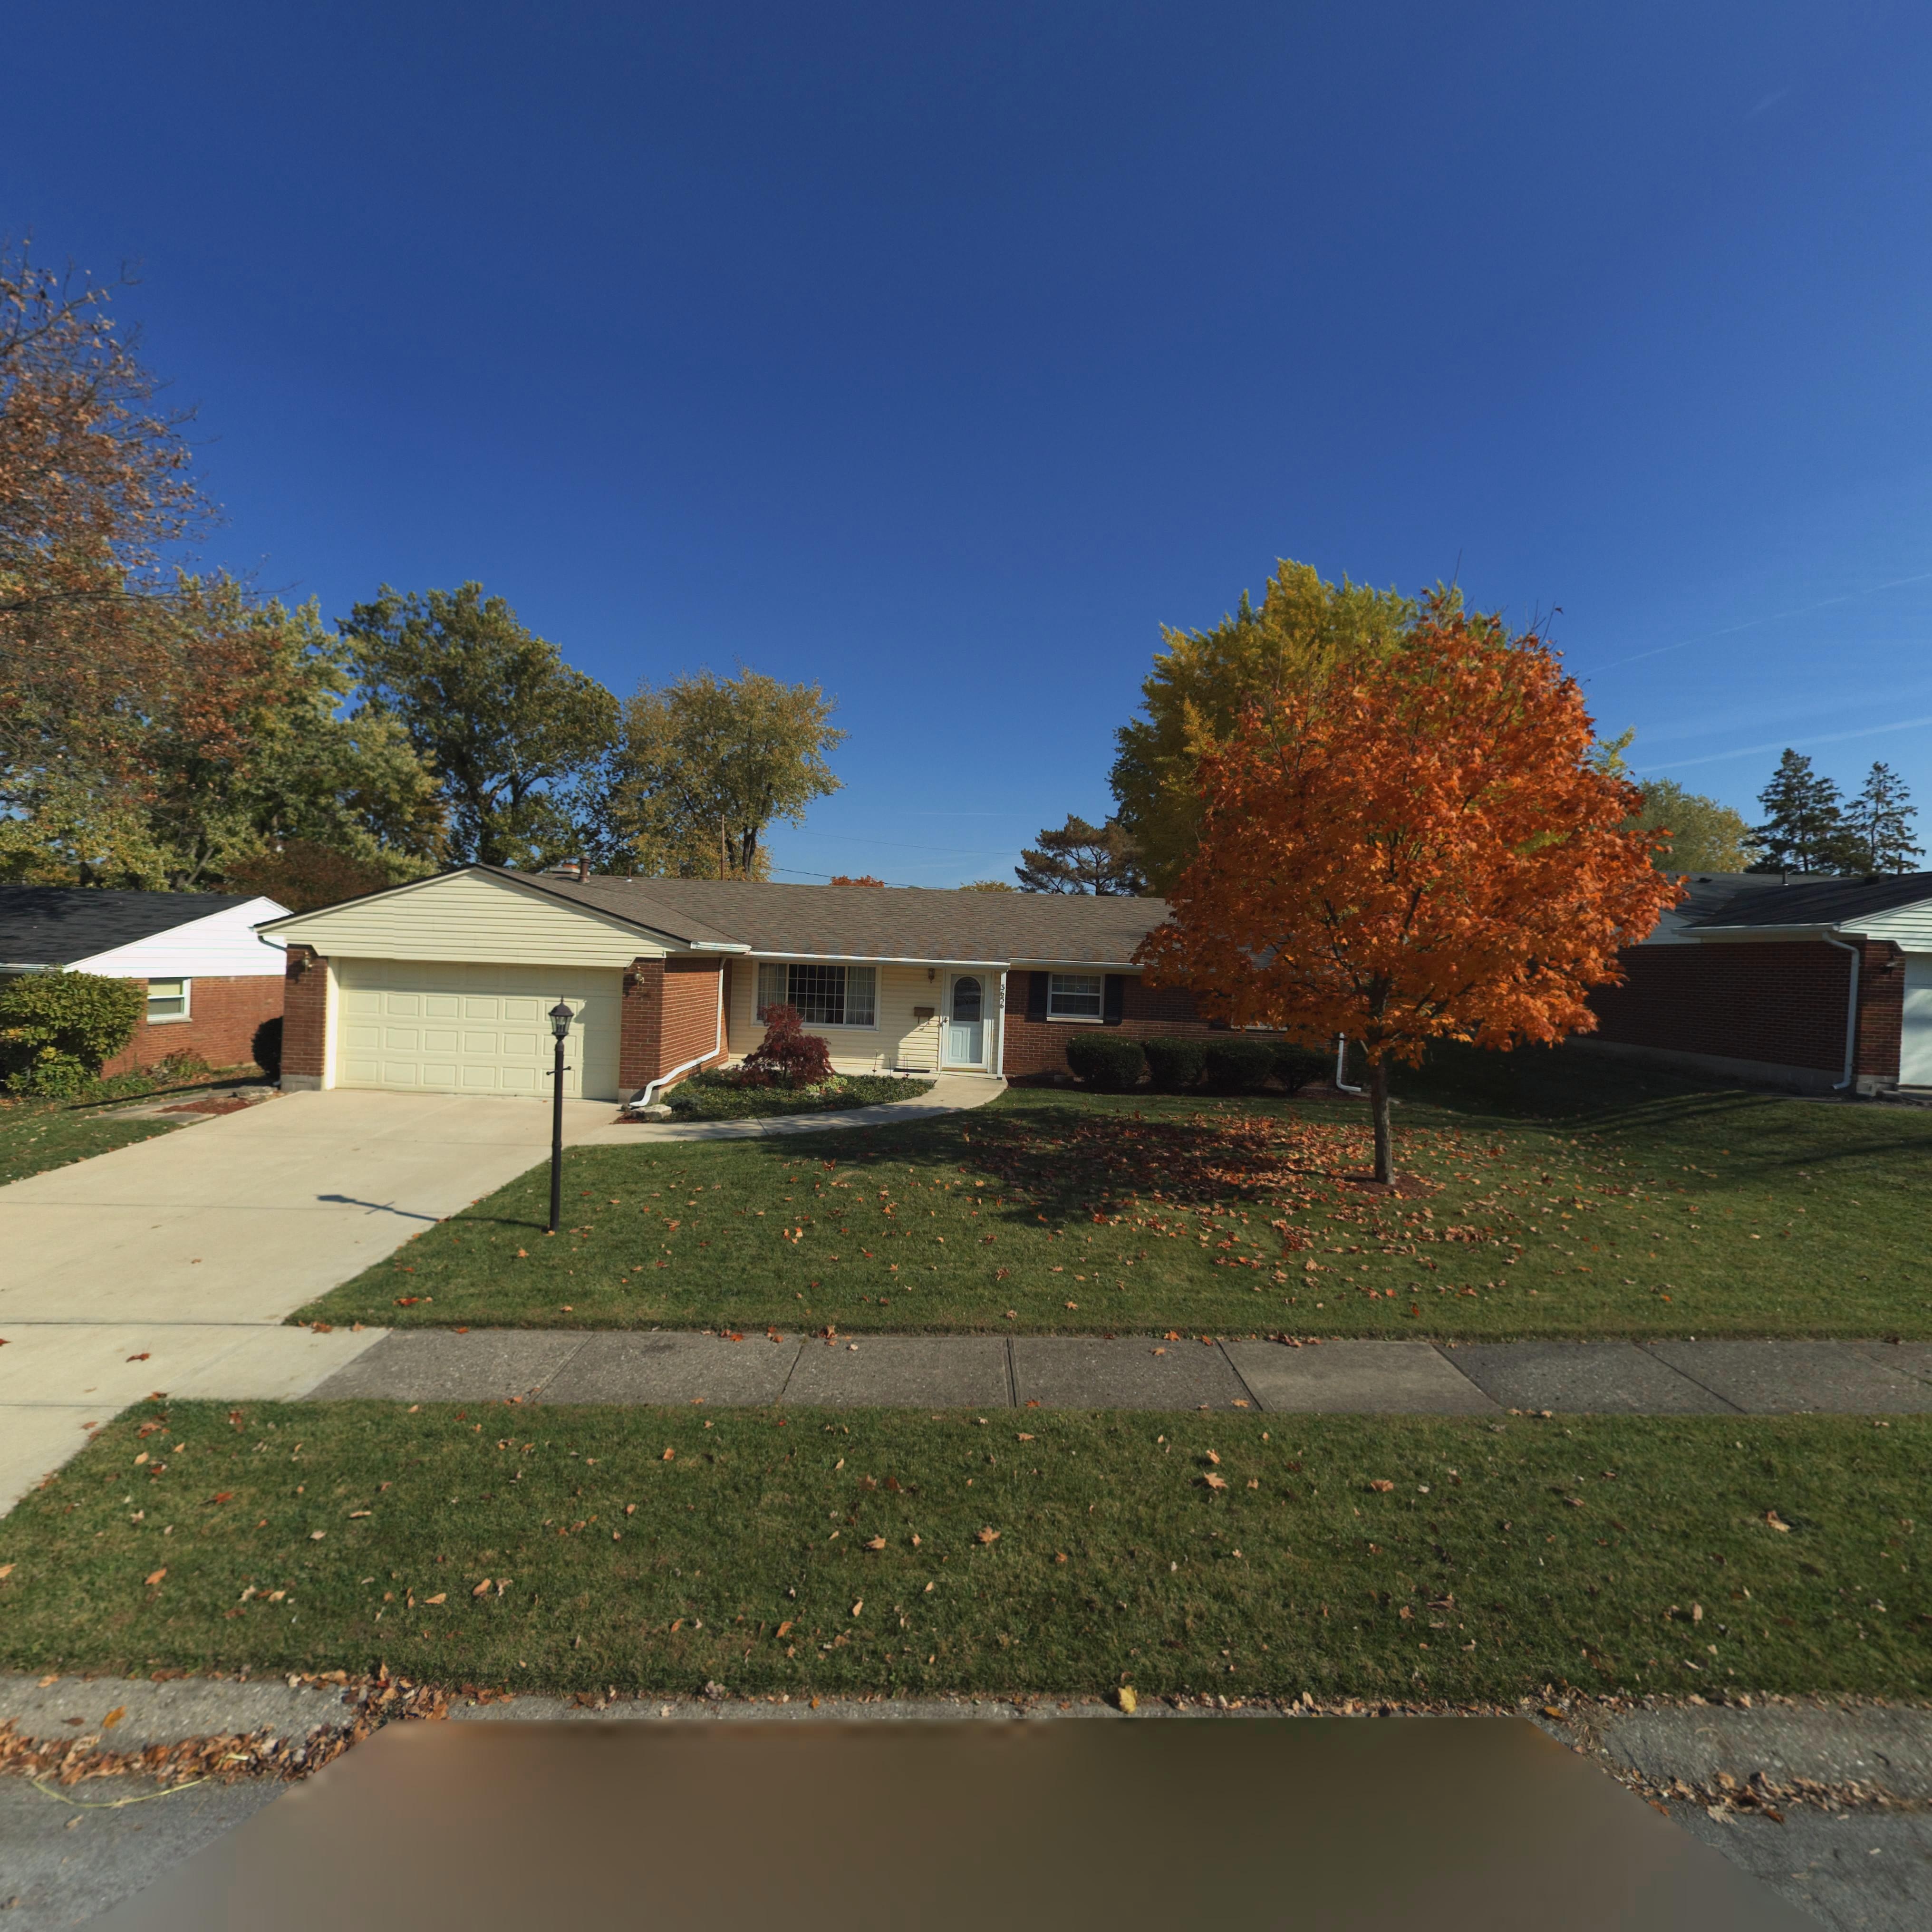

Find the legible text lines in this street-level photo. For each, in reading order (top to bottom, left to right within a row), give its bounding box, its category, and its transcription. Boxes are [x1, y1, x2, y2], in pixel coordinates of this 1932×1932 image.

[999, 984, 1005, 1009] StreetNumber: 3656